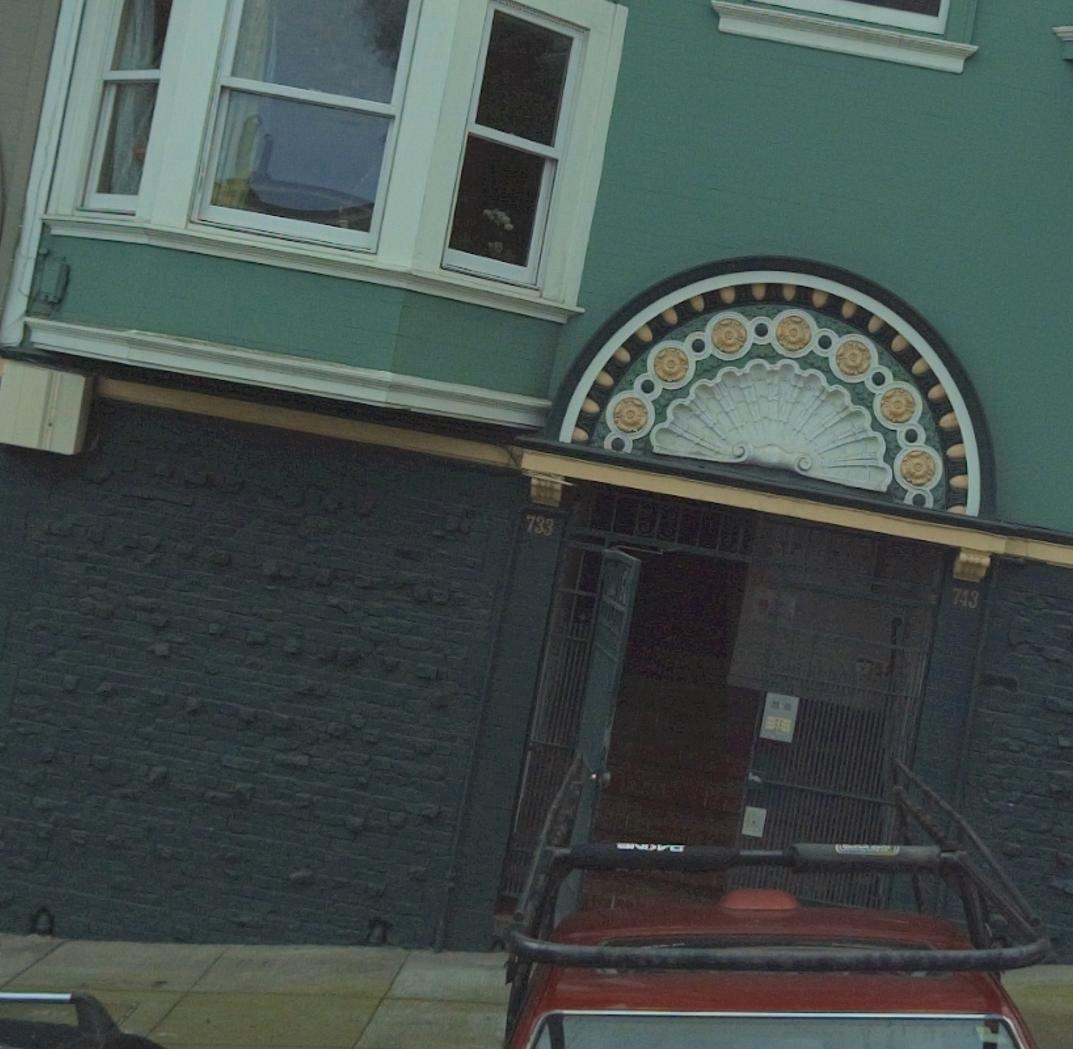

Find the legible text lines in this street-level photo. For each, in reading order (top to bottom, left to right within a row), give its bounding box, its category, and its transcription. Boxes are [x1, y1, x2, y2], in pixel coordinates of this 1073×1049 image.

[524, 512, 557, 539] StreetNumber: 733
[949, 584, 982, 612] StreetNumber: 743